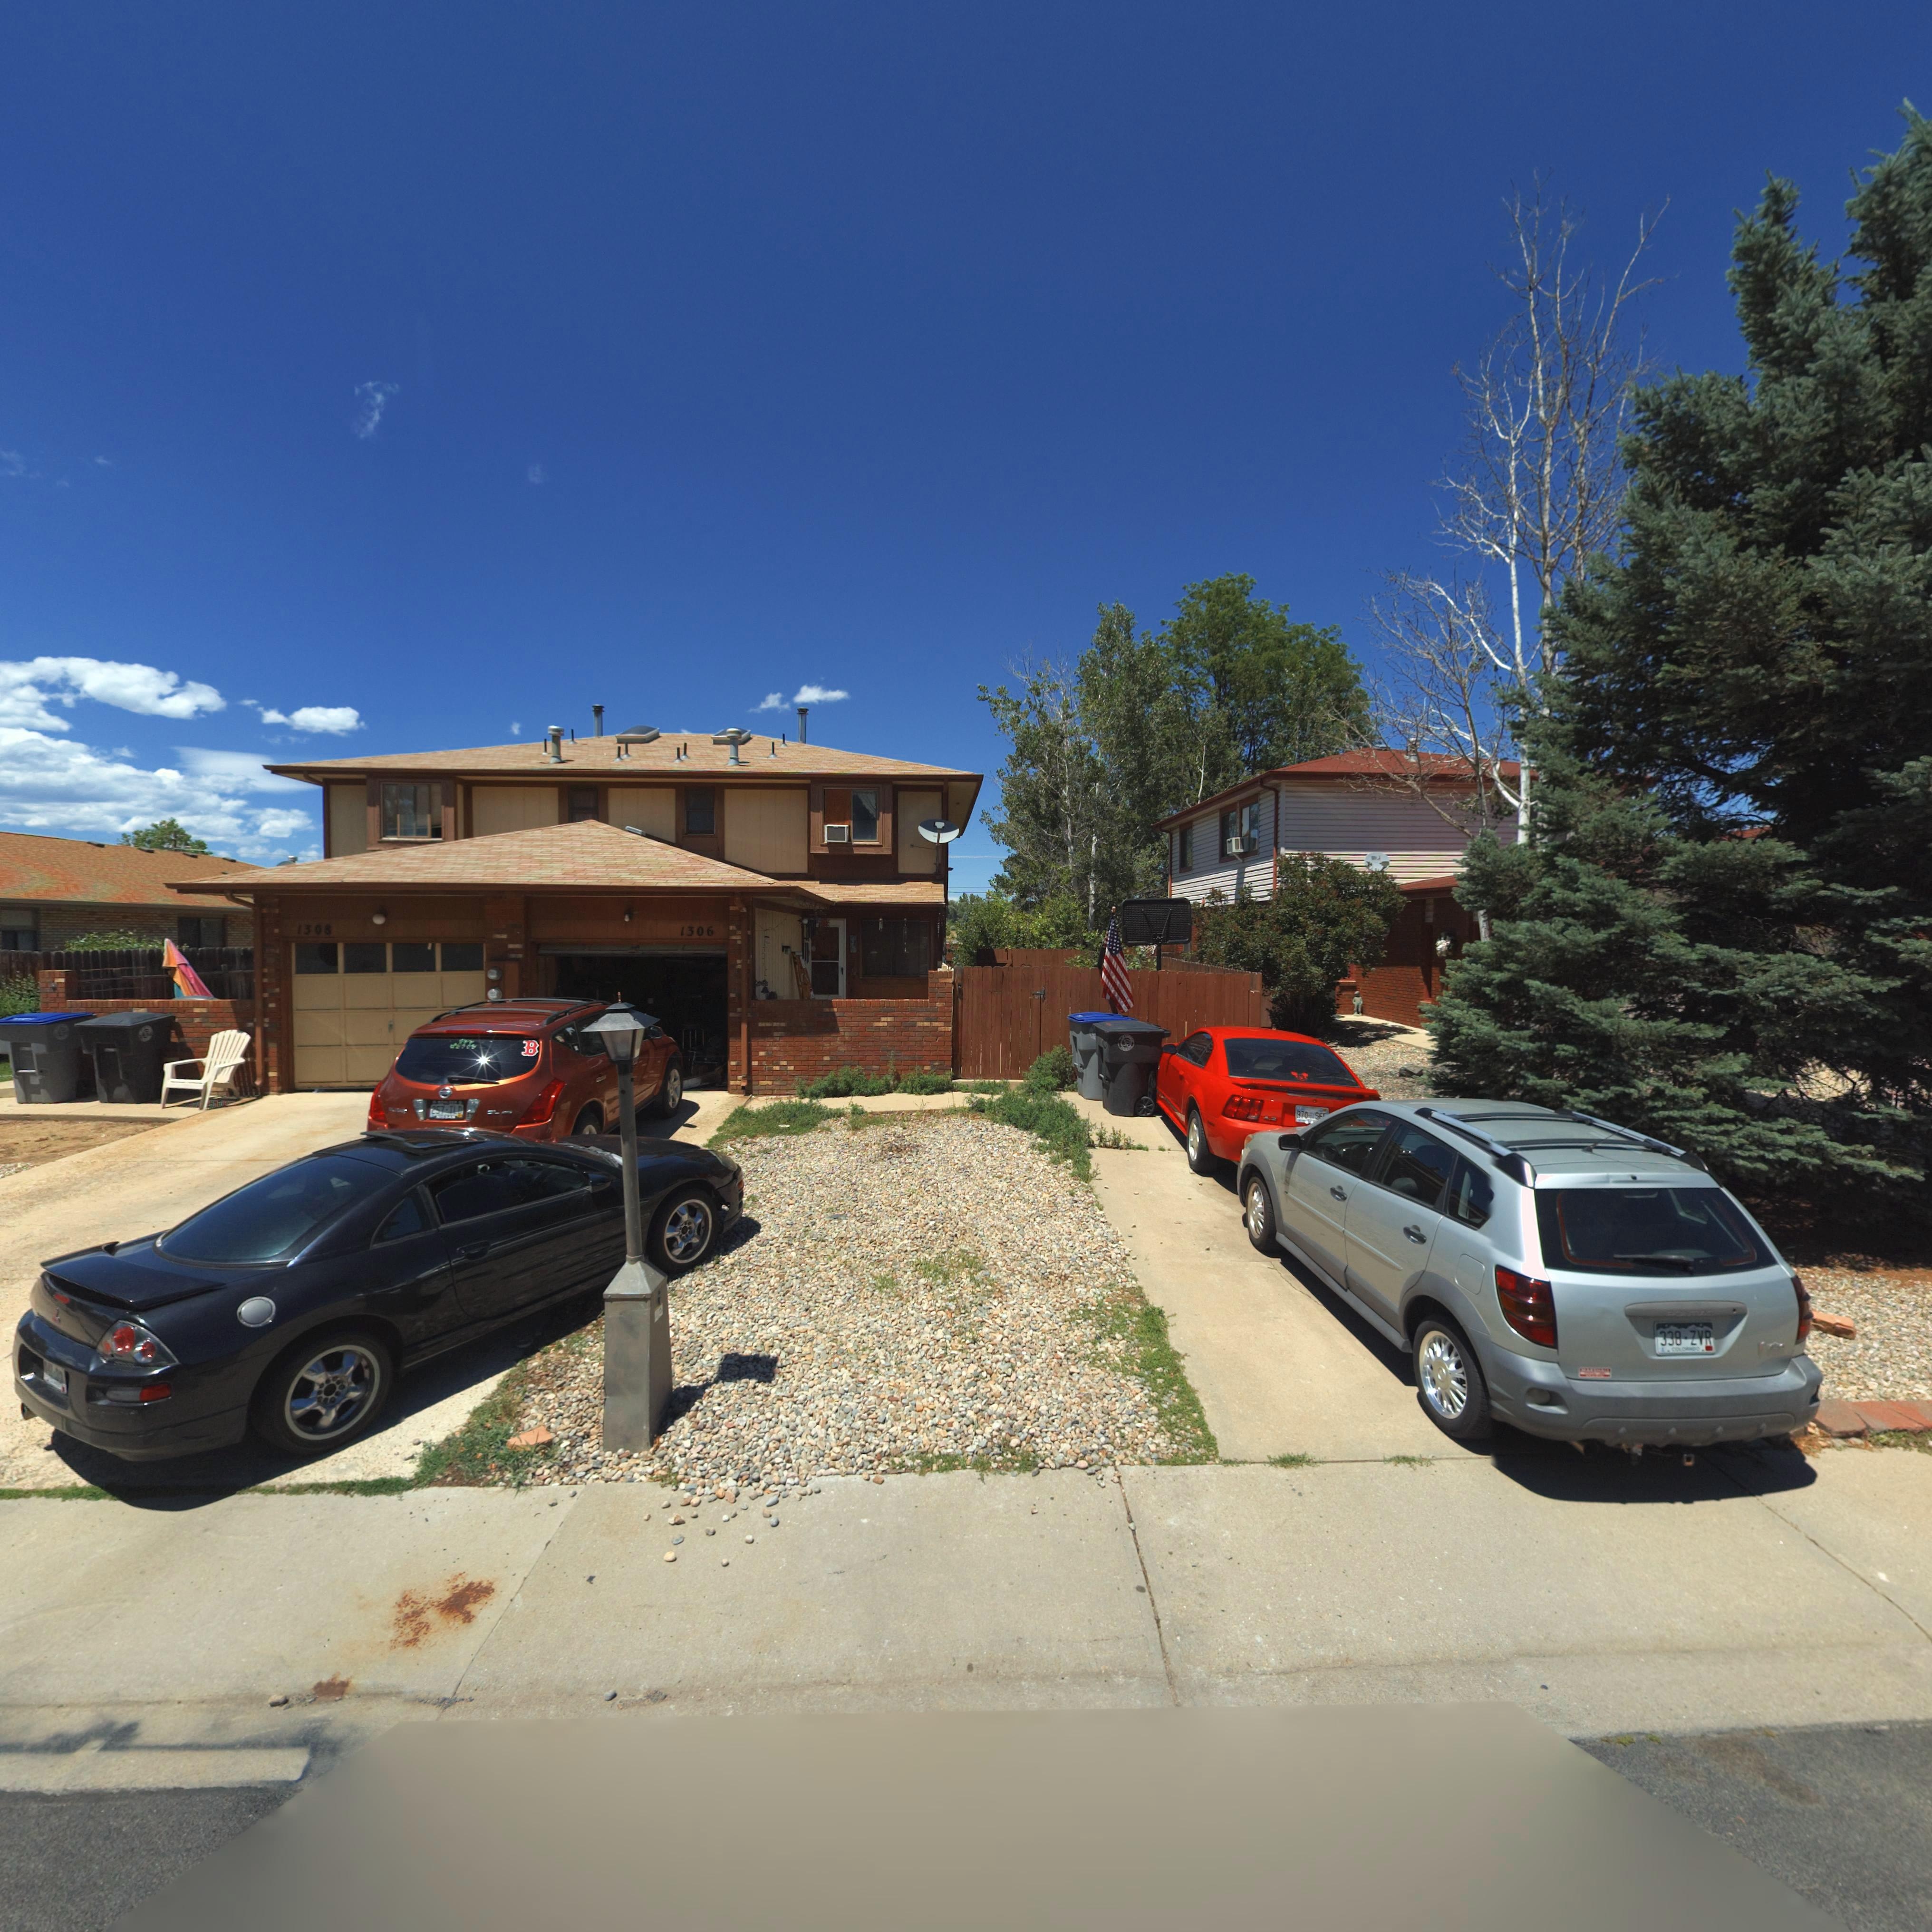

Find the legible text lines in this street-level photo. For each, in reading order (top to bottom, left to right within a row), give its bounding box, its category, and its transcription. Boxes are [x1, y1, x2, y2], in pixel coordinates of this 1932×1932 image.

[297, 922, 332, 935] StreetNumber: 1308
[679, 926, 714, 937] StreetNumber: 1306